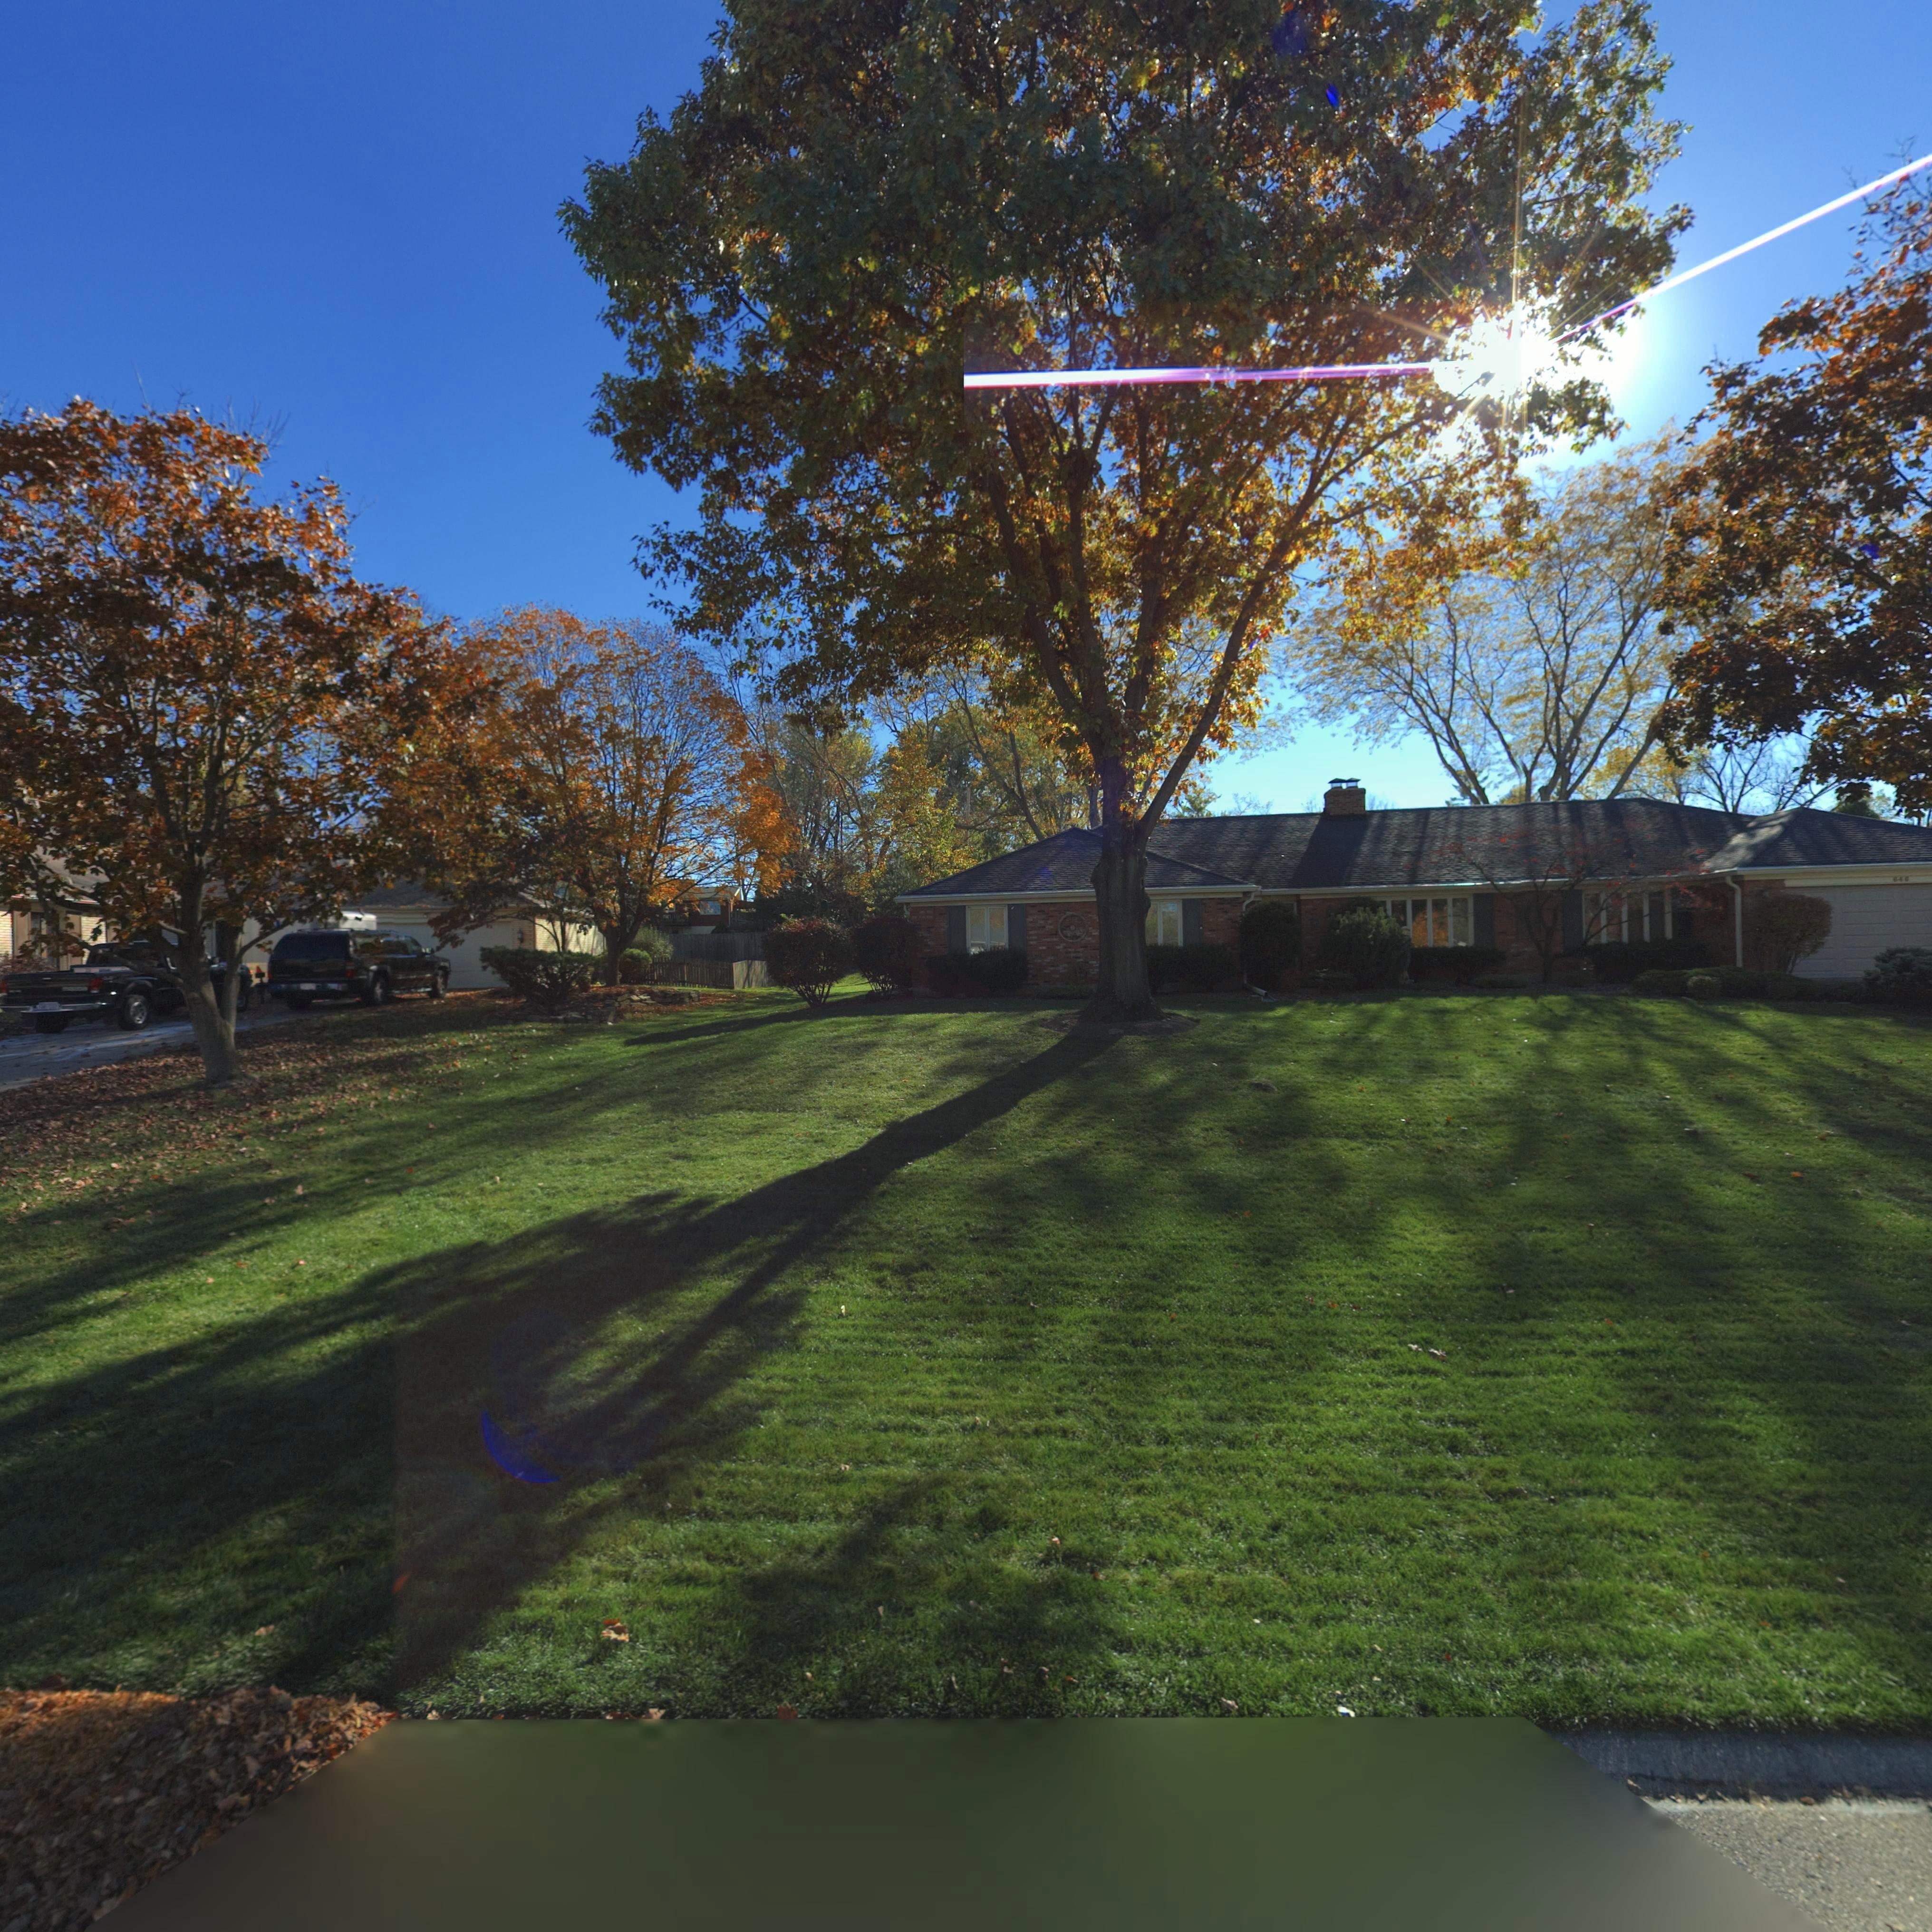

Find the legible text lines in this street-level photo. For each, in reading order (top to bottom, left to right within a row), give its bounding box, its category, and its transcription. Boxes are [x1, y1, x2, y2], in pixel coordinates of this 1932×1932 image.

[1892, 876, 1910, 882] StreetNumber: 646